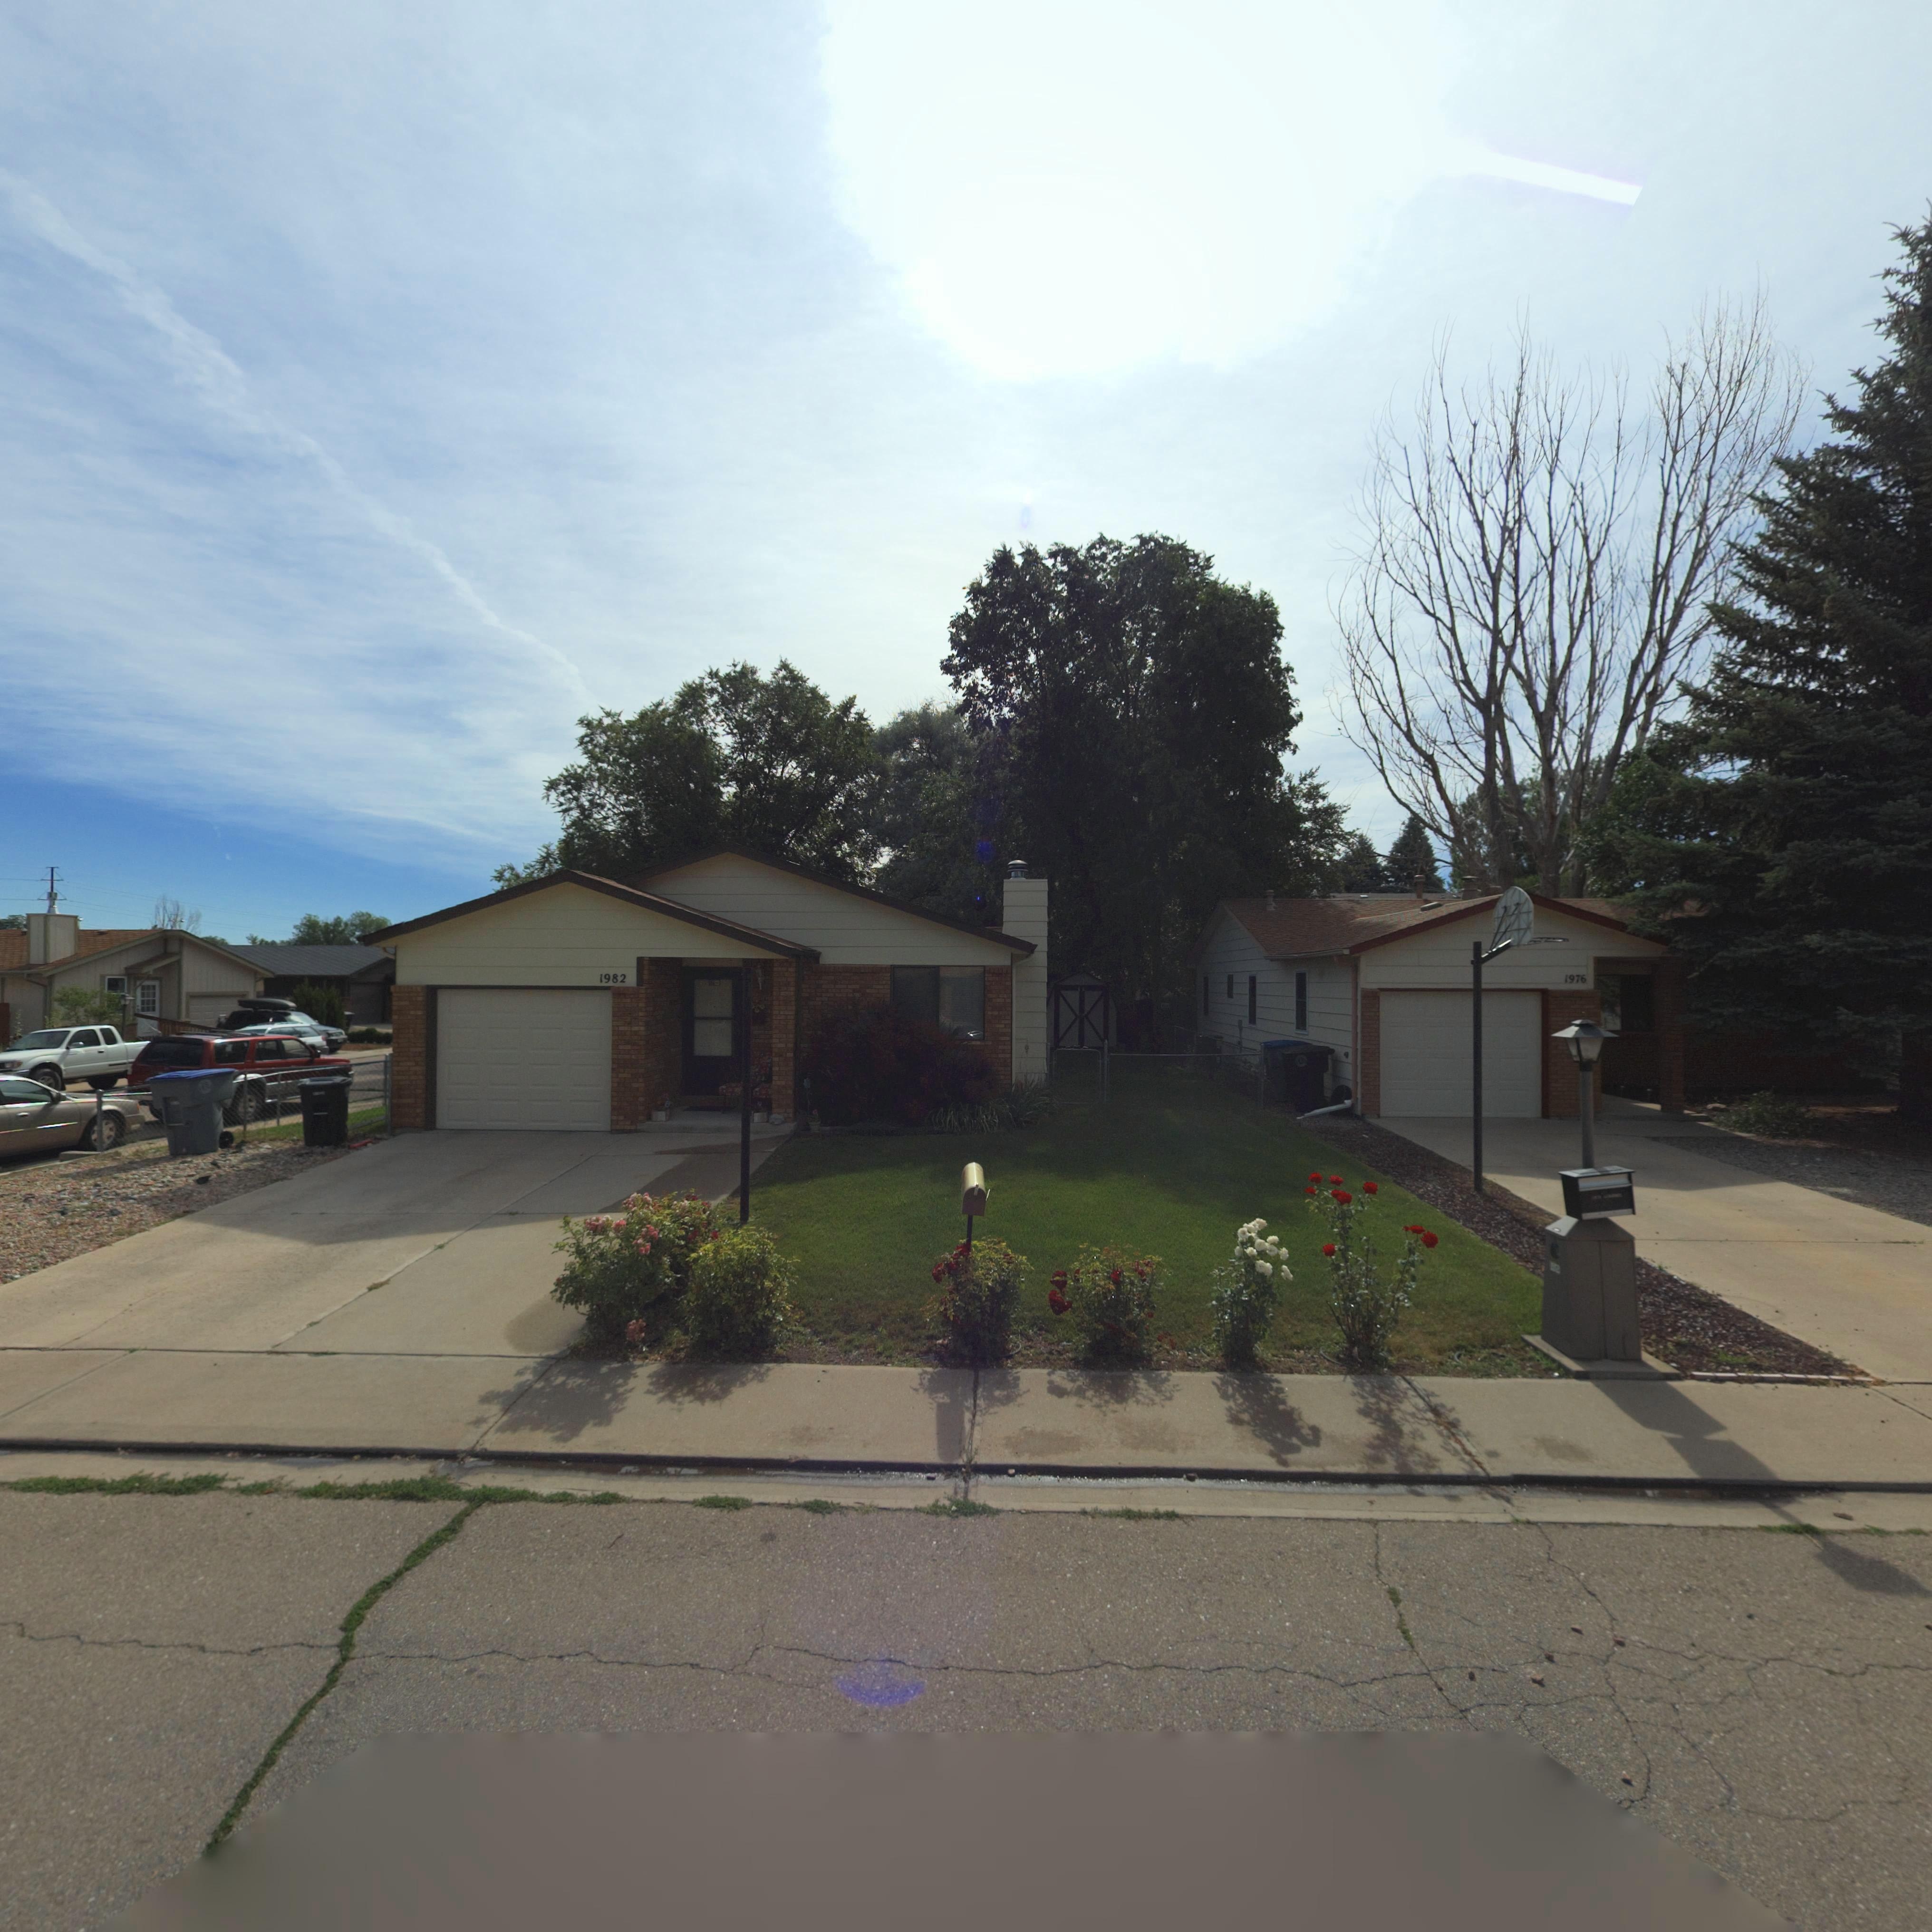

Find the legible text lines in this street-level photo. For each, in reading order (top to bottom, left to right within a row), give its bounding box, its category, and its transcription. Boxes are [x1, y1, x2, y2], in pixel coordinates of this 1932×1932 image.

[600, 973, 626, 983] StreetNumber: 1982
[1564, 974, 1587, 984] StreetNumber: 1976